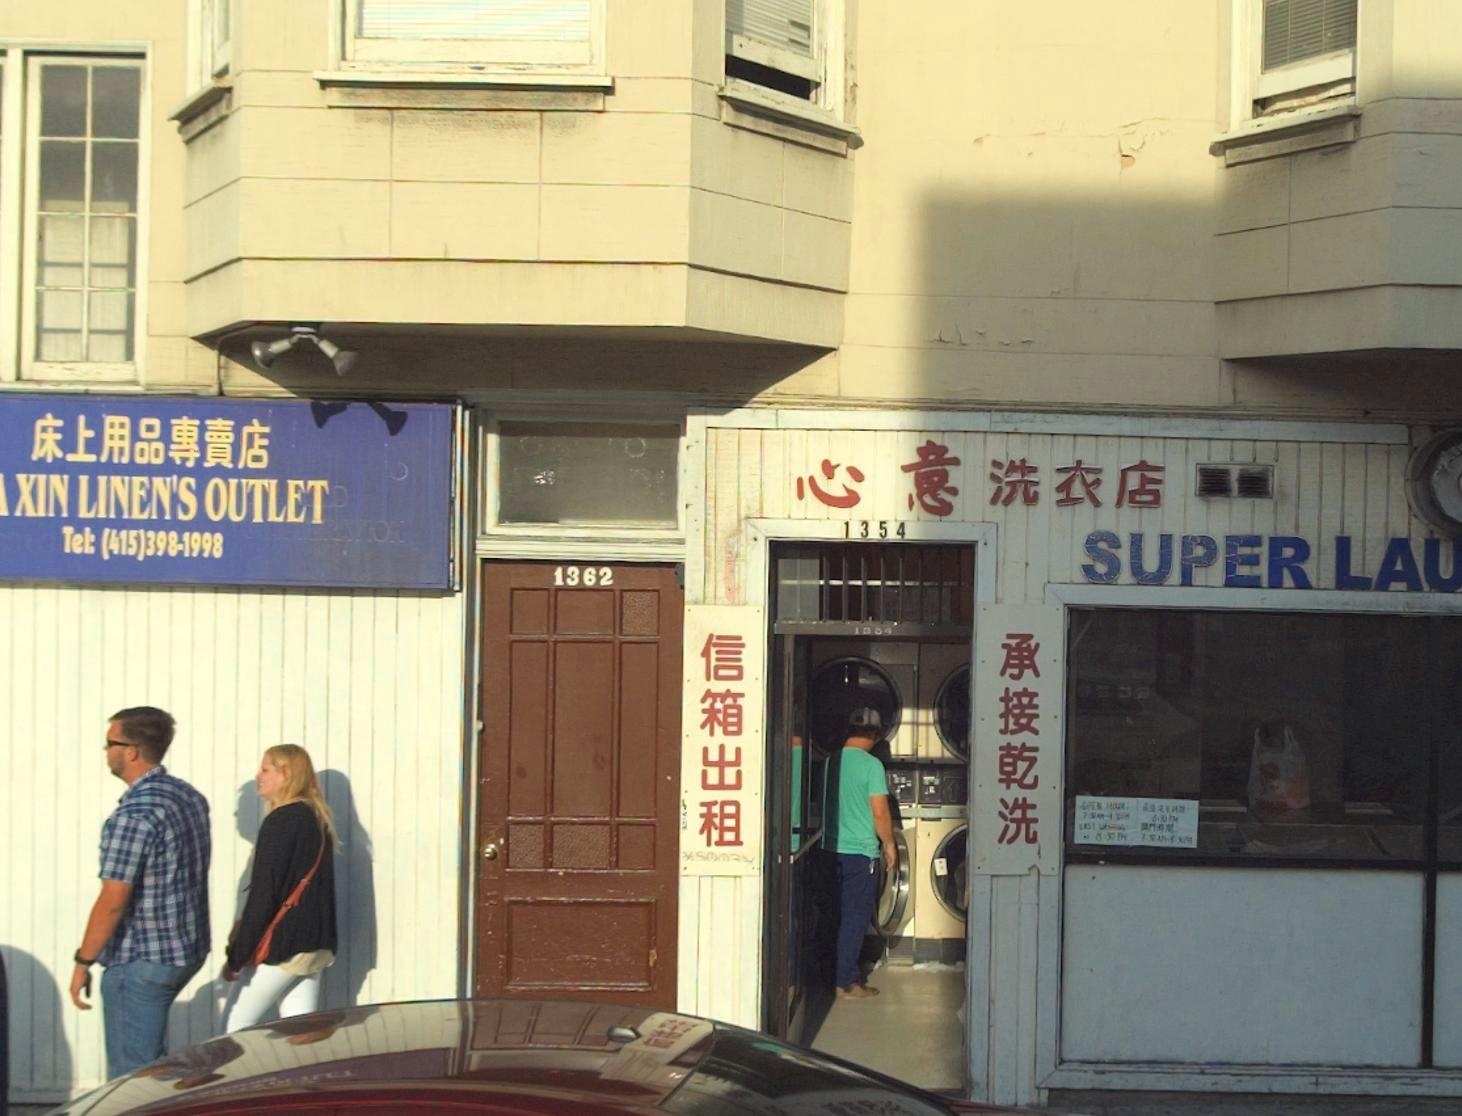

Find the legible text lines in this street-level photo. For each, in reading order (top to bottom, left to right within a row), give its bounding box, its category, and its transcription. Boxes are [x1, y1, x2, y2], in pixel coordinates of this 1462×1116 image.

[11, 471, 332, 526] BusinessName: XIN LINEN'S OUTLET
[60, 523, 225, 563] None: Tel: (415)398-1998
[553, 562, 615, 589] StreetNumber: 1362
[840, 518, 908, 541] StreetNumber: 1354
[1079, 528, 1426, 594] BusinessName: SUPER LA
[853, 624, 893, 636] StreetNumber: 1354